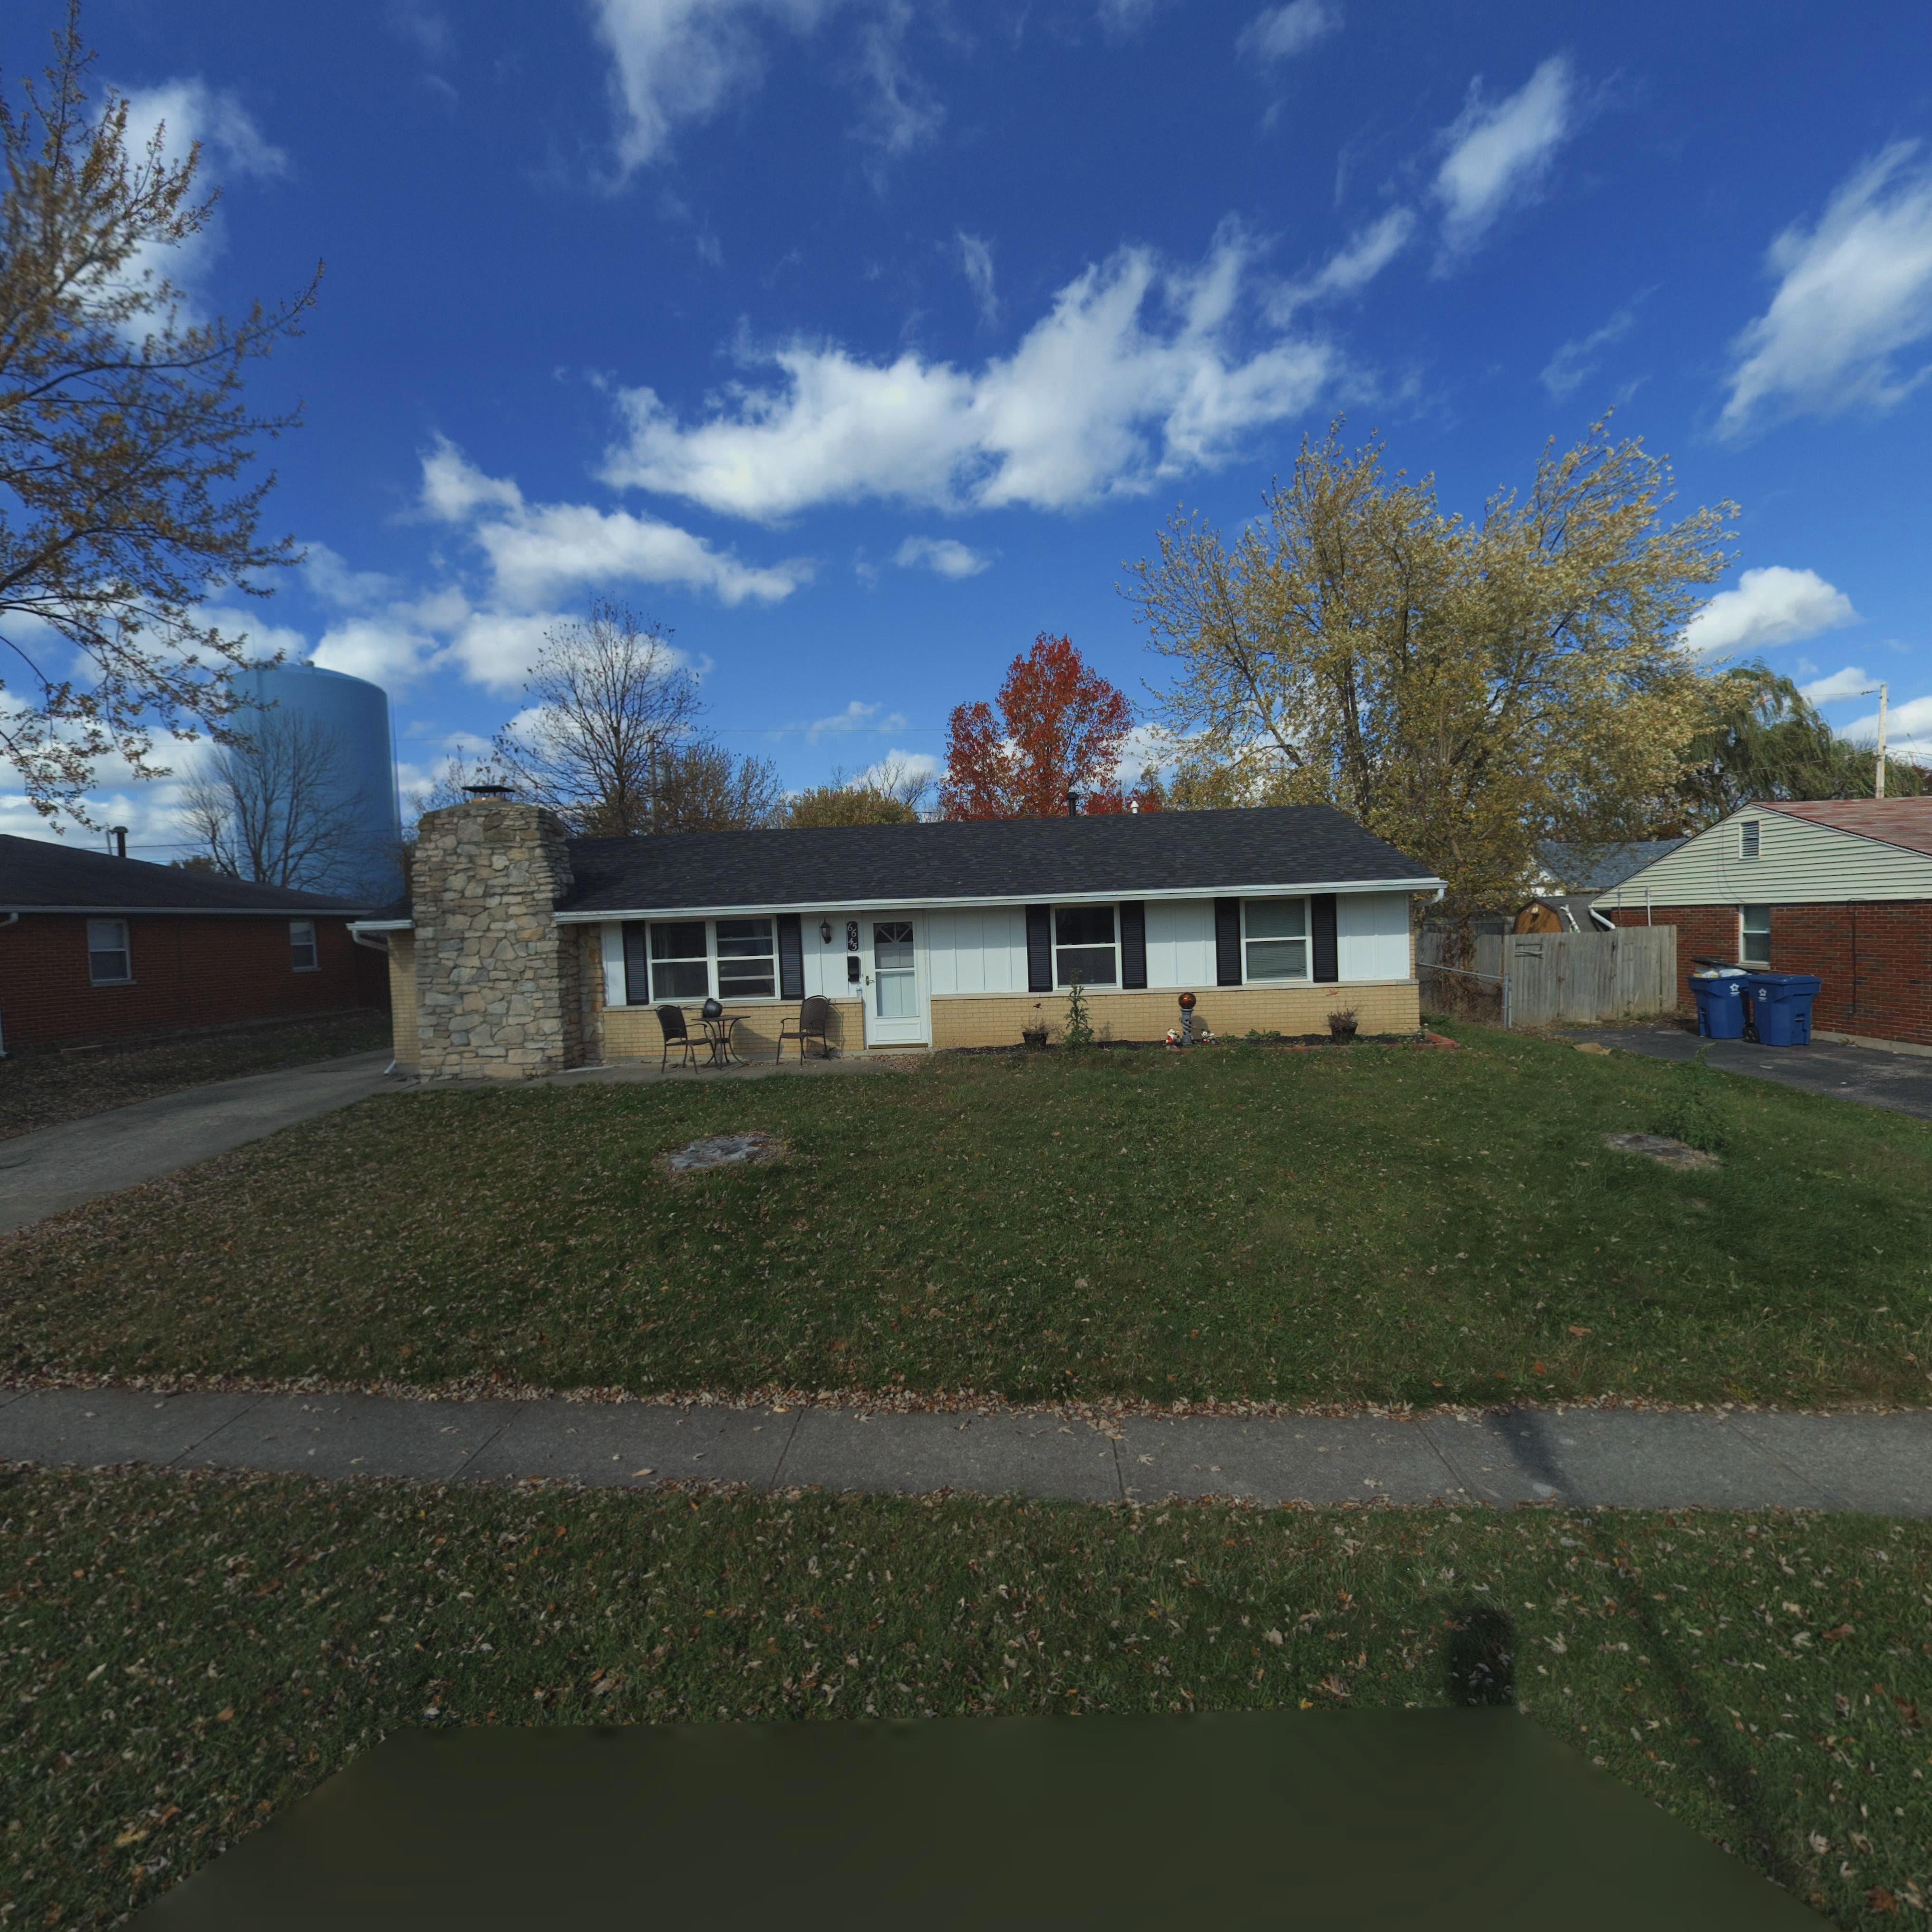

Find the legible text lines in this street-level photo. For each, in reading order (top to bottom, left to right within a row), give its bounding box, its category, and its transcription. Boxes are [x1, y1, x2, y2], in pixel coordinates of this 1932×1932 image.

[847, 922, 857, 937] StreetNumber: 66
[847, 937, 858, 950] StreetNumber: 45